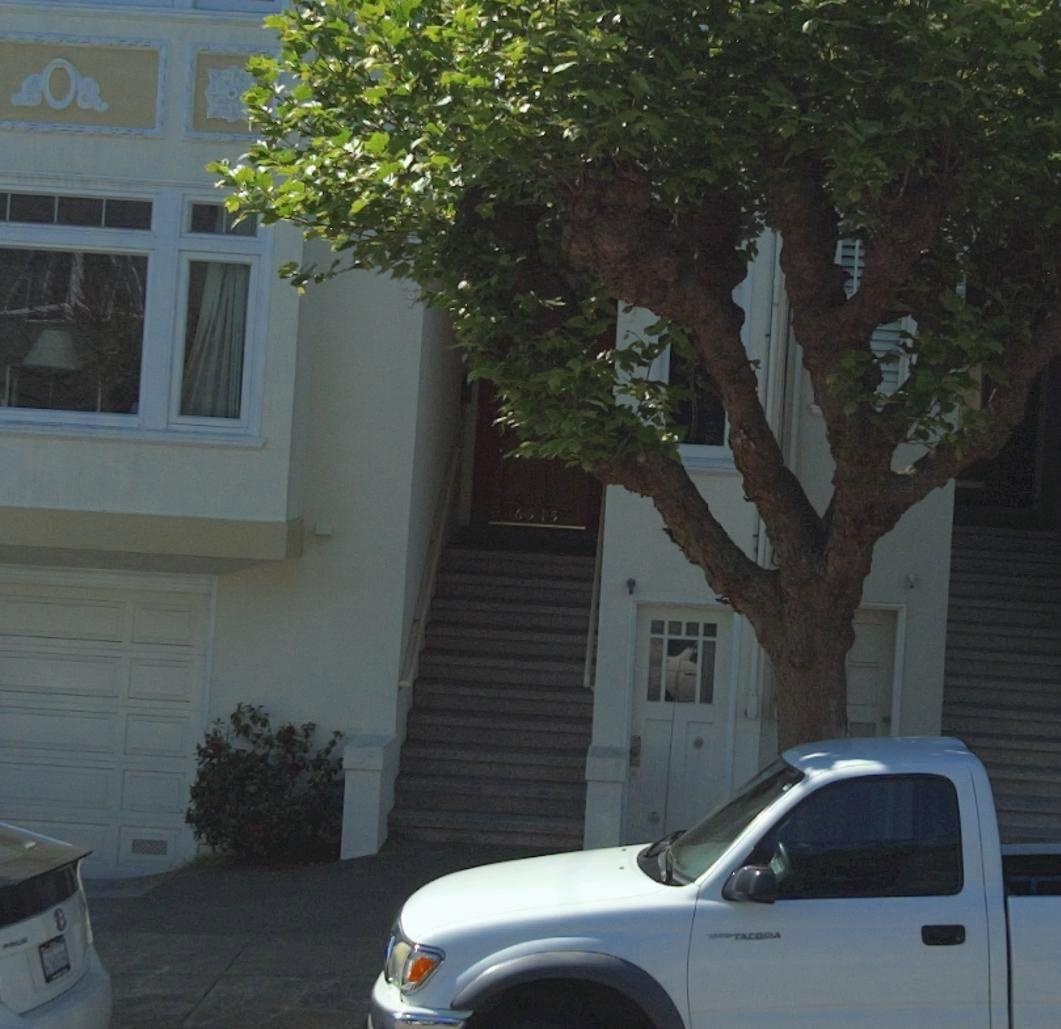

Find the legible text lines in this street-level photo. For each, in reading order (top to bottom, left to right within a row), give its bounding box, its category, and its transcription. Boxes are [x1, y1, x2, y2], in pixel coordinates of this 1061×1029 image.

[513, 505, 560, 524] StreetNumber: 6515
[732, 930, 782, 941] None: TACOMA